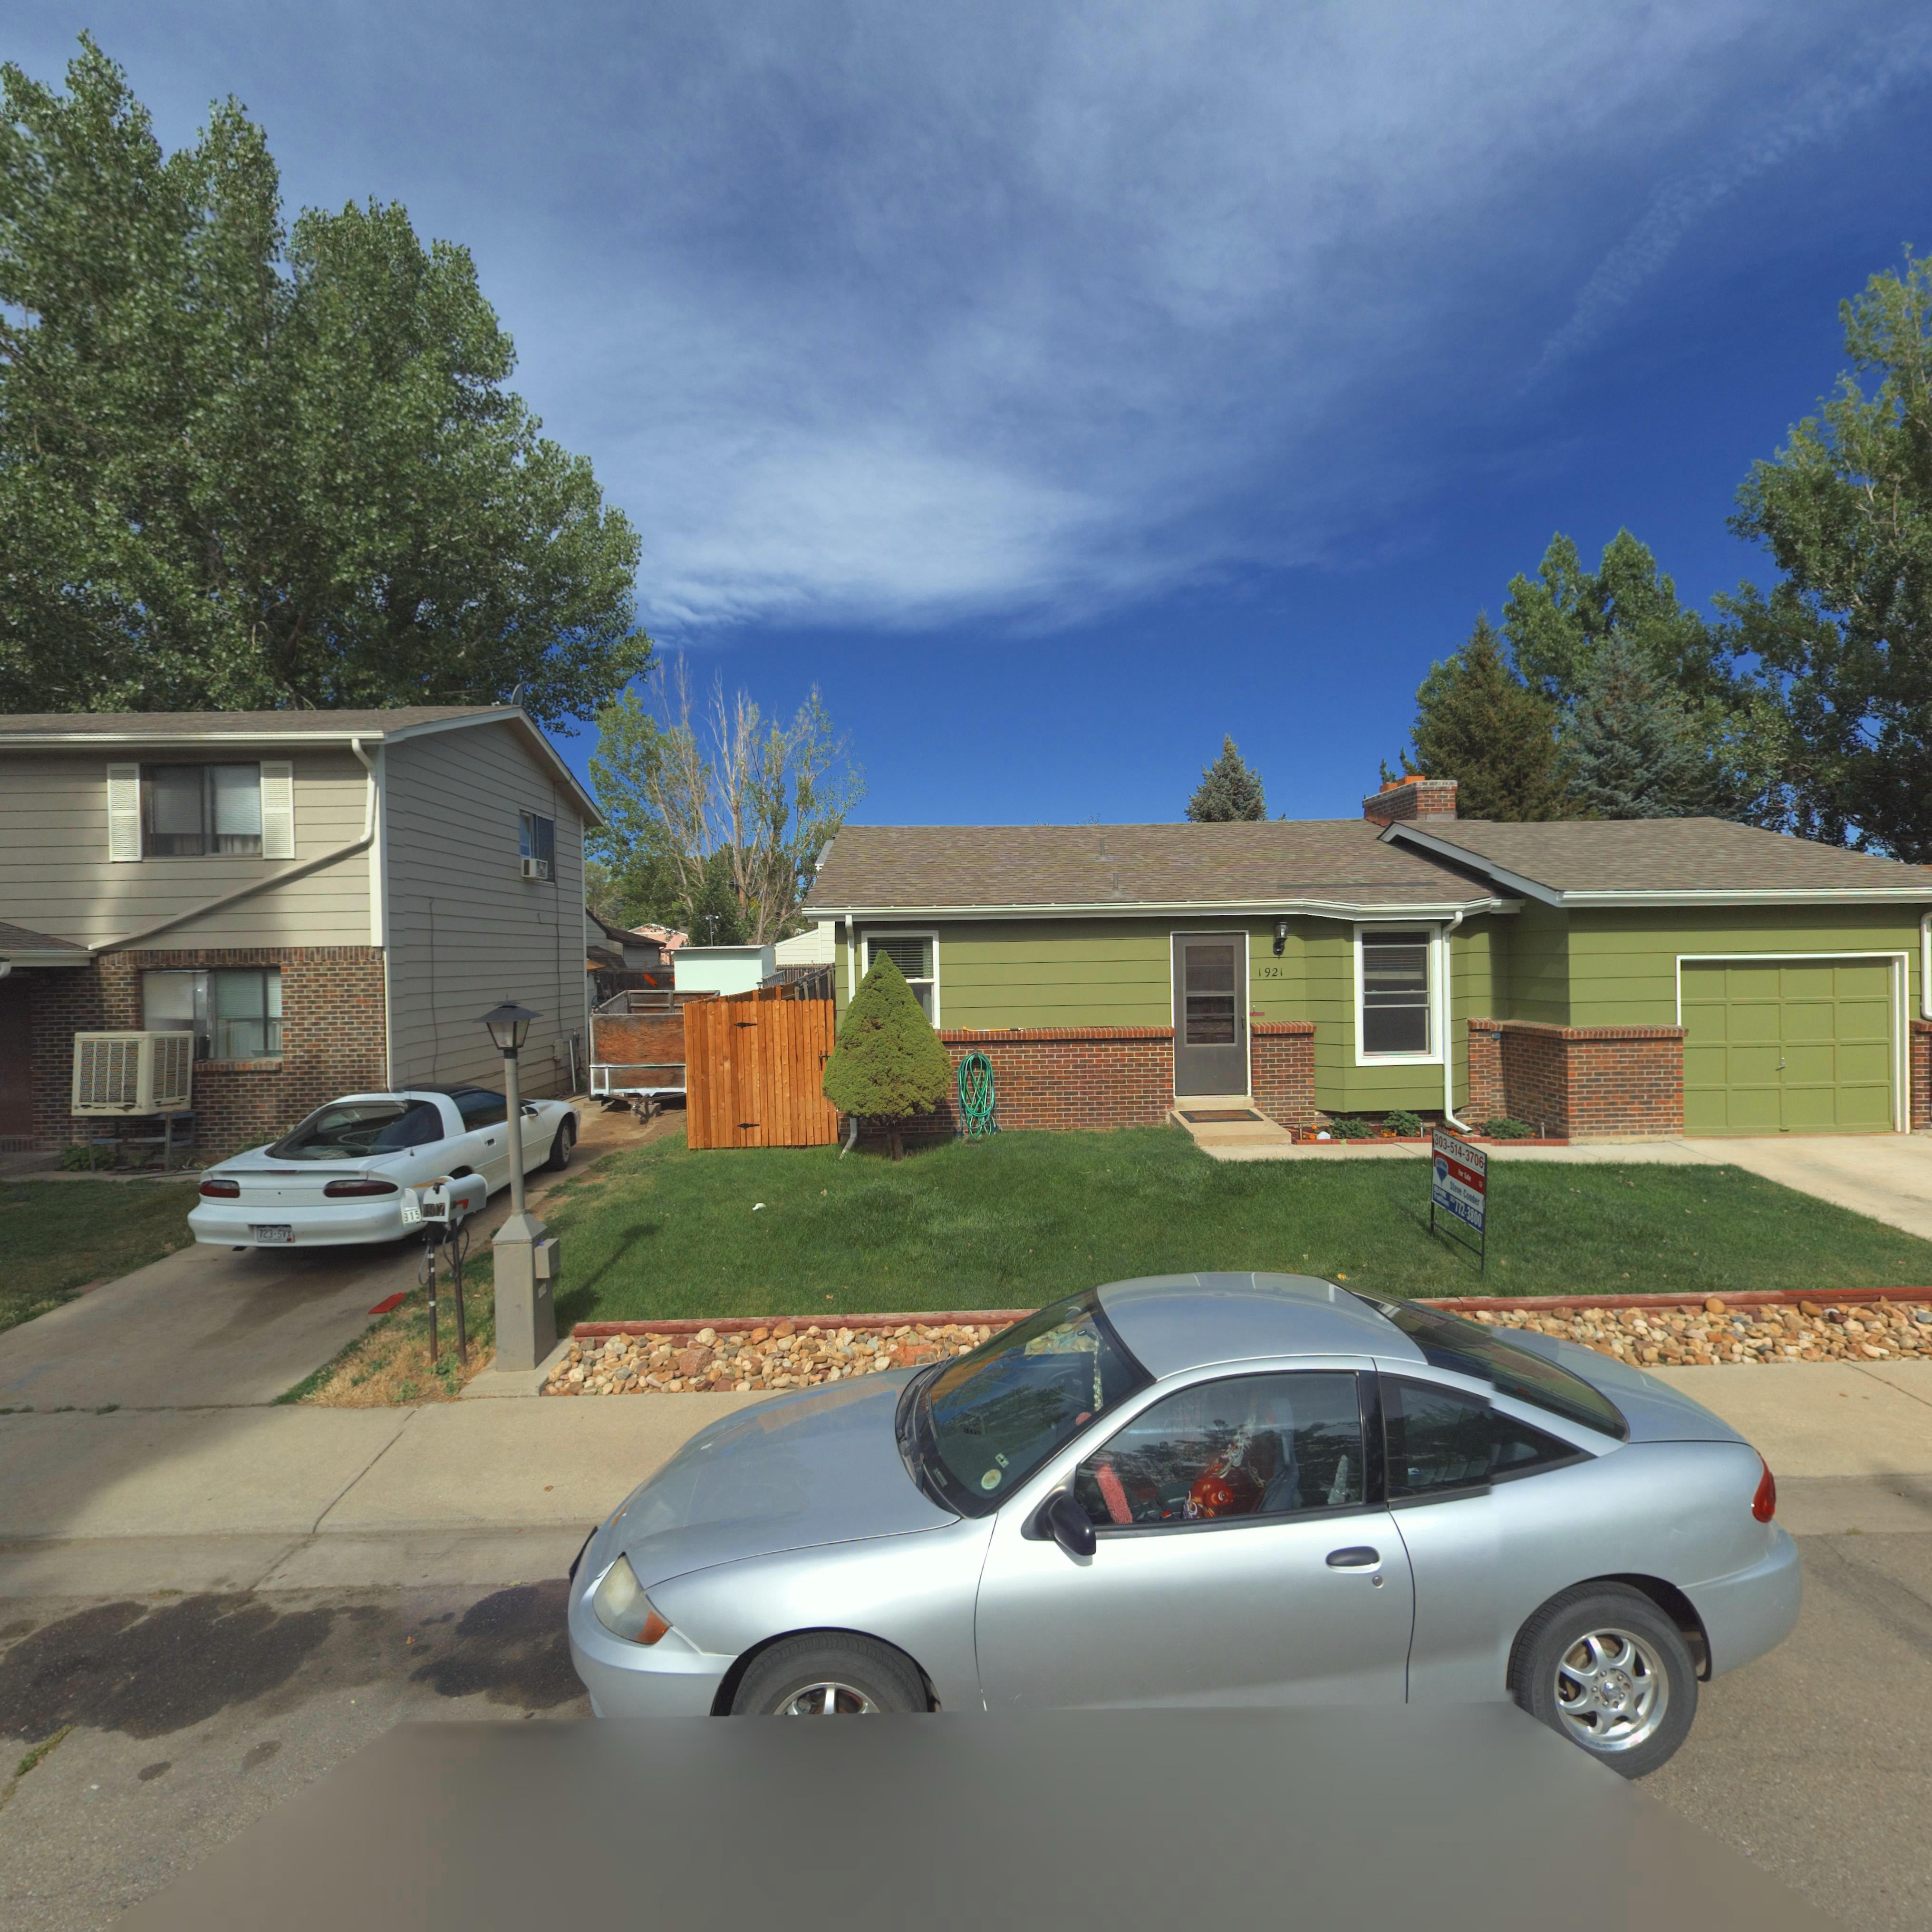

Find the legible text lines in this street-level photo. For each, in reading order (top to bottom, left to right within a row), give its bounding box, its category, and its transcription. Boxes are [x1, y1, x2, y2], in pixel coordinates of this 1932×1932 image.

[1258, 967, 1282, 977] StreetNumber: 1921
[403, 1209, 420, 1222] StreetNumber: 915
[422, 1202, 445, 1217] StreetNumber: 1917